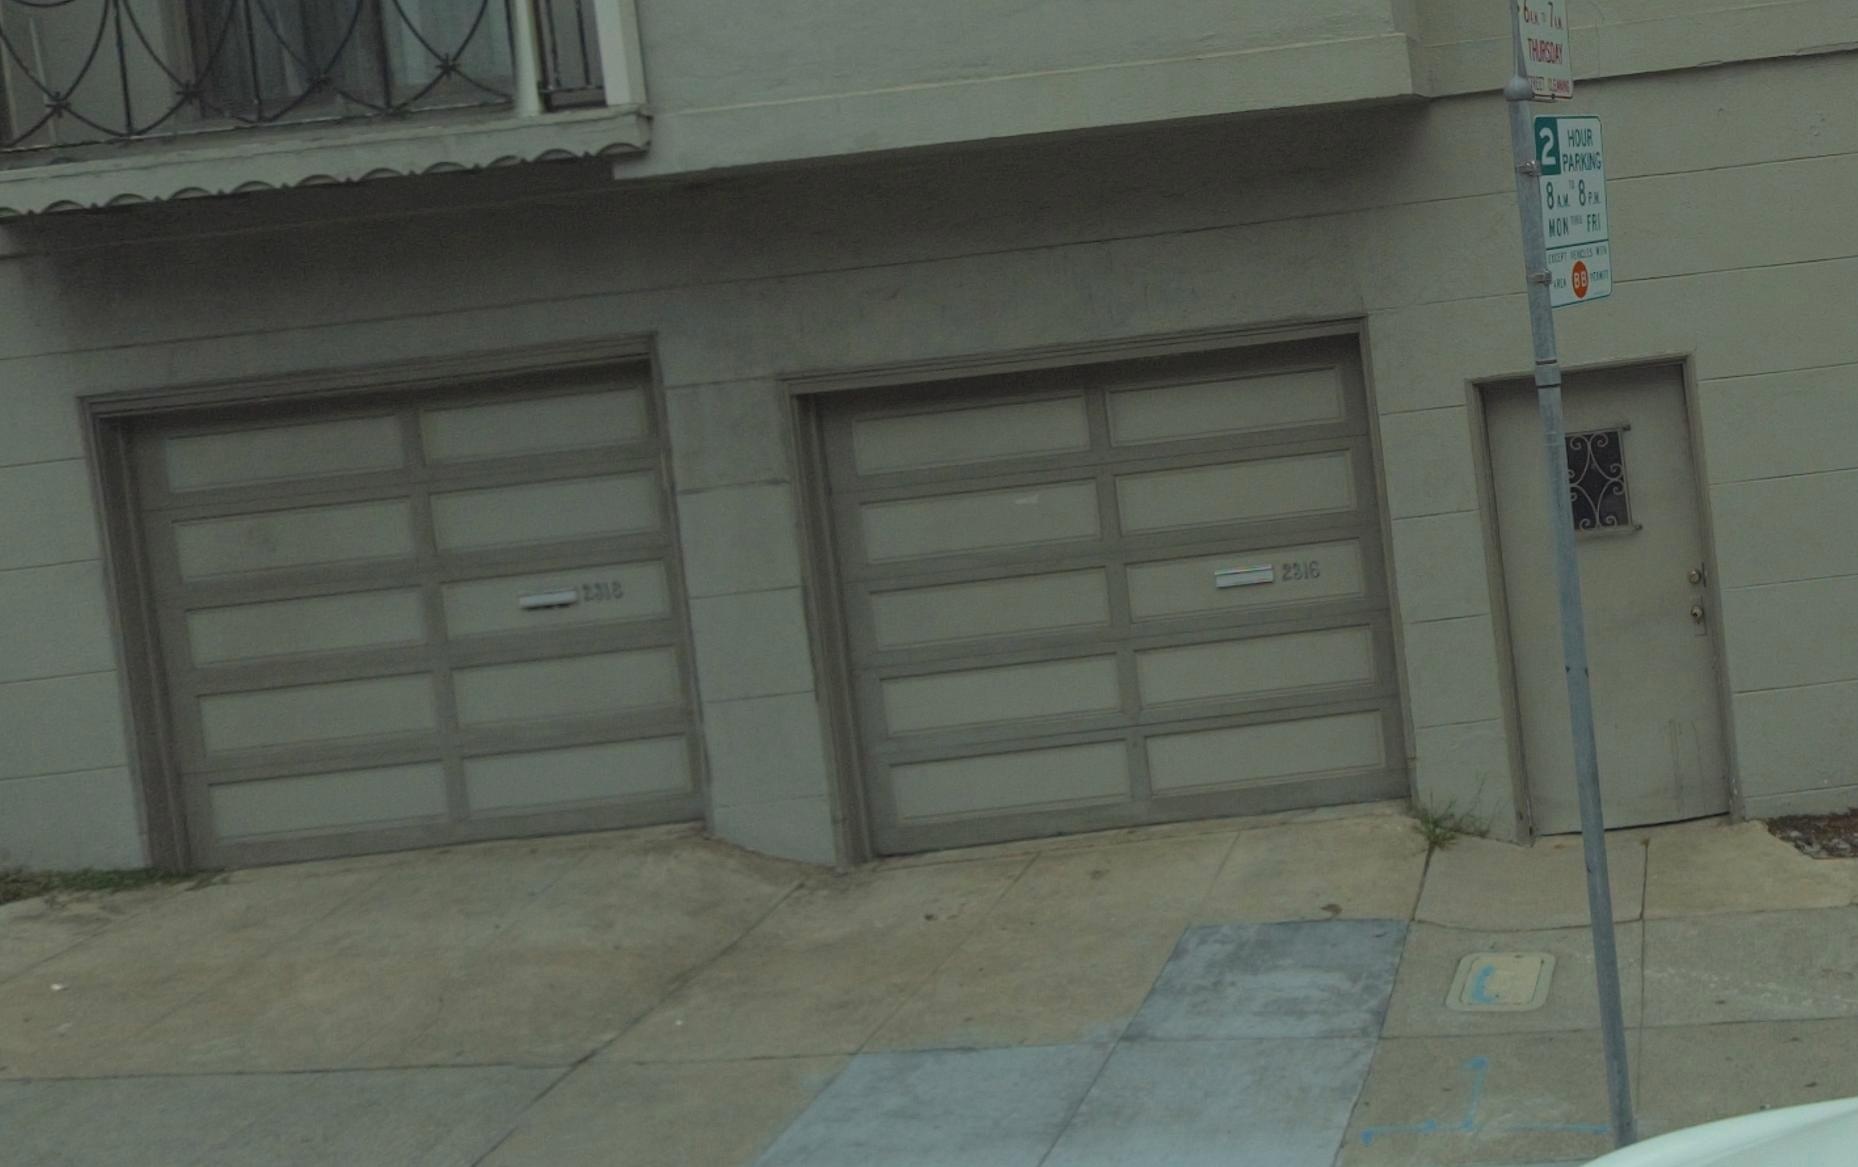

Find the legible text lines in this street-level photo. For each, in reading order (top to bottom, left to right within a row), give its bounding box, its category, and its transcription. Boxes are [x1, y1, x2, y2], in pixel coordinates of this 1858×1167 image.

[1527, 7, 1541, 28] None: A.M.
[1540, 11, 1548, 23] None: TO
[1546, 0, 1554, 29] None: 7
[1554, 15, 1565, 31] None: A.M.
[1526, 36, 1564, 67] None: THURSDAY
[1526, 74, 1571, 95] None: **REET CLEANING
[1537, 125, 1557, 167] None: 2
[1565, 127, 1595, 149] None: HOUR
[1560, 150, 1603, 175] None: PARKING
[1545, 179, 1556, 212] None: 8
[1555, 191, 1573, 210] None: A.M.
[1566, 178, 1576, 192] None: TO
[1575, 177, 1588, 209] None: 8
[1587, 190, 1604, 208] None: P.M.
[1548, 215, 1571, 239] None: MON
[1569, 214, 1584, 227] None: THRU
[1585, 211, 1602, 234] None: FRI
[1547, 244, 1608, 266] None: EXCEPT VEHICLES WITH
[1551, 268, 1611, 291] None: AREA BB PERMITS
[1279, 559, 1322, 584] StreetNumber: 2316
[579, 579, 626, 605] StreetNumber: 2318